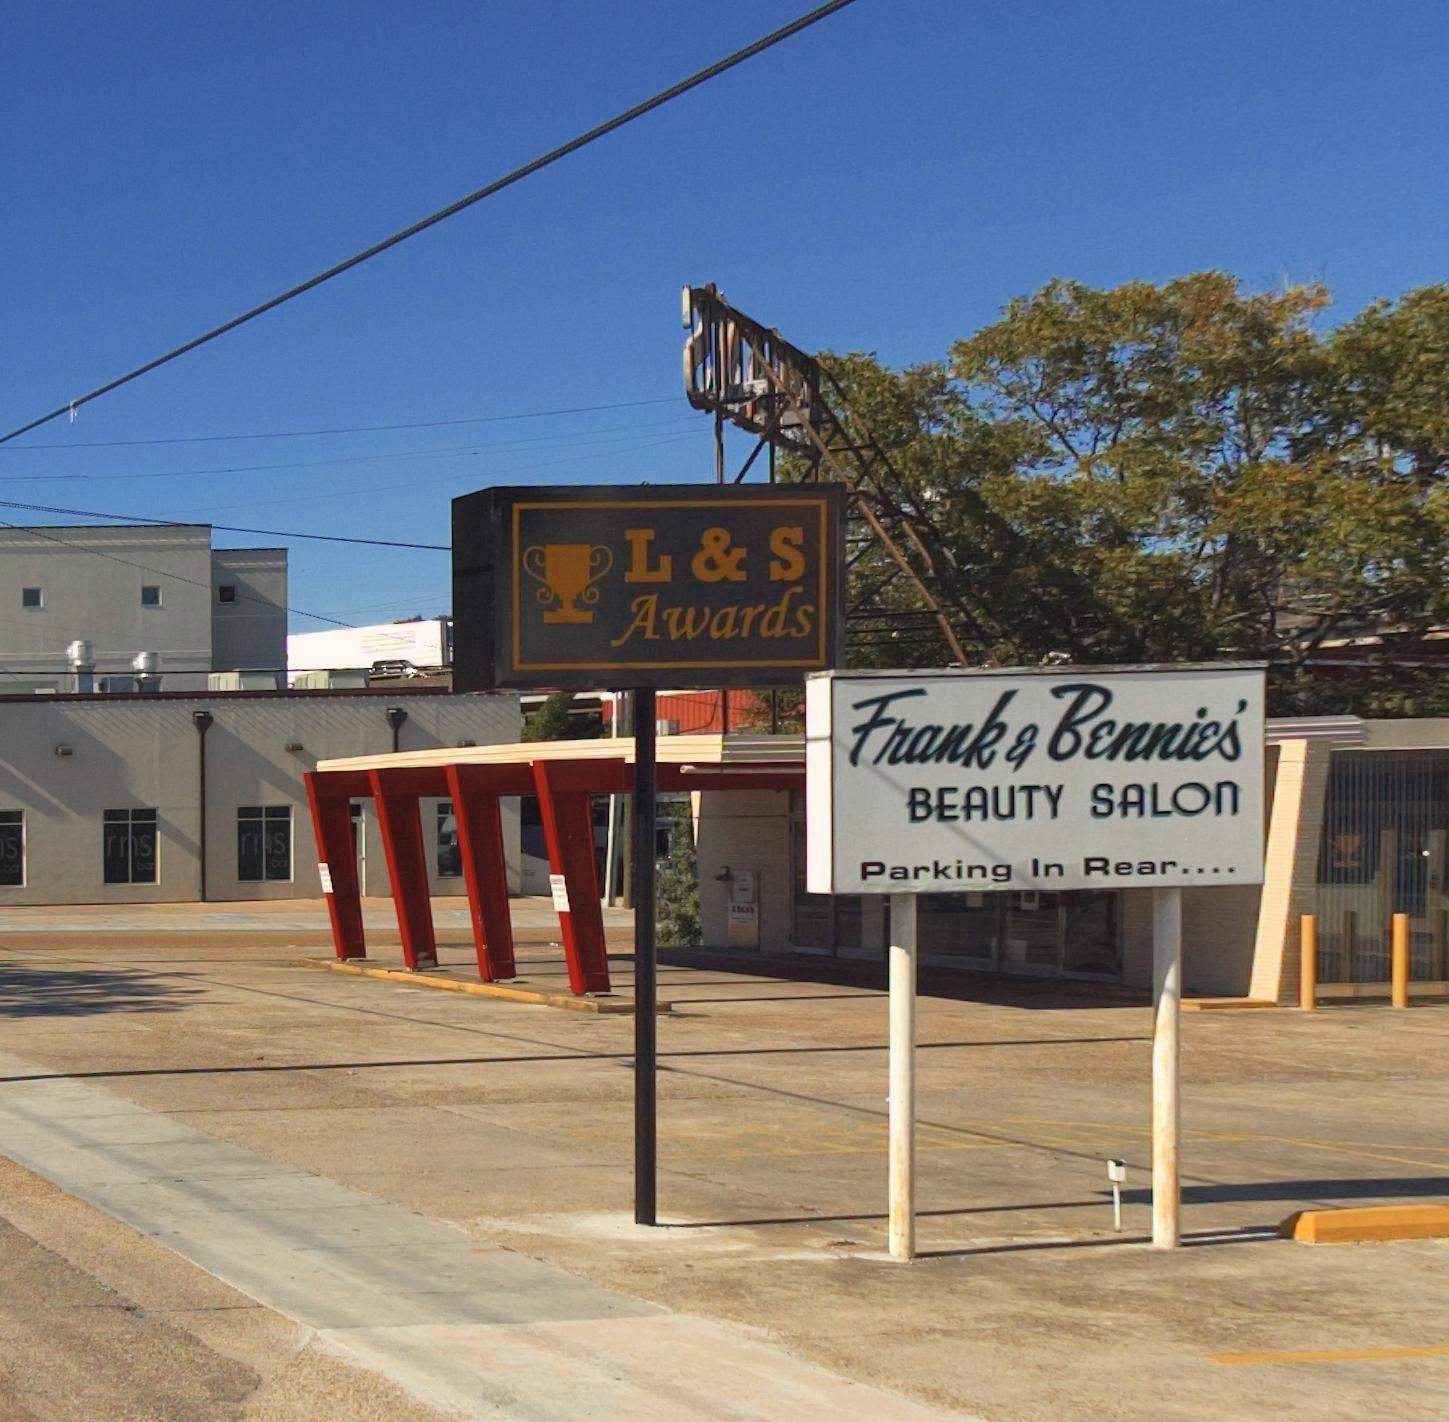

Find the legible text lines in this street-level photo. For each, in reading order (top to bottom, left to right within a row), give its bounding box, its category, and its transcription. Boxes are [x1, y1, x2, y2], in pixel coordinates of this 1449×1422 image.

[623, 525, 808, 584] BusinessName: L & S Awards
[607, 583, 816, 649] BusinessName: Awards
[845, 681, 1248, 775] BusinessName: Frank & Bennie's
[905, 778, 1241, 825] None: BEAUTY SALON
[3, 835, 20, 861] None: s
[106, 832, 154, 859] None: r*s
[240, 831, 287, 857] None: r*s
[2, 860, 22, 875] None: bar
[136, 859, 155, 872] None: bar
[270, 857, 290, 869] None: bar
[859, 855, 1237, 883] None: Parking In Rear....